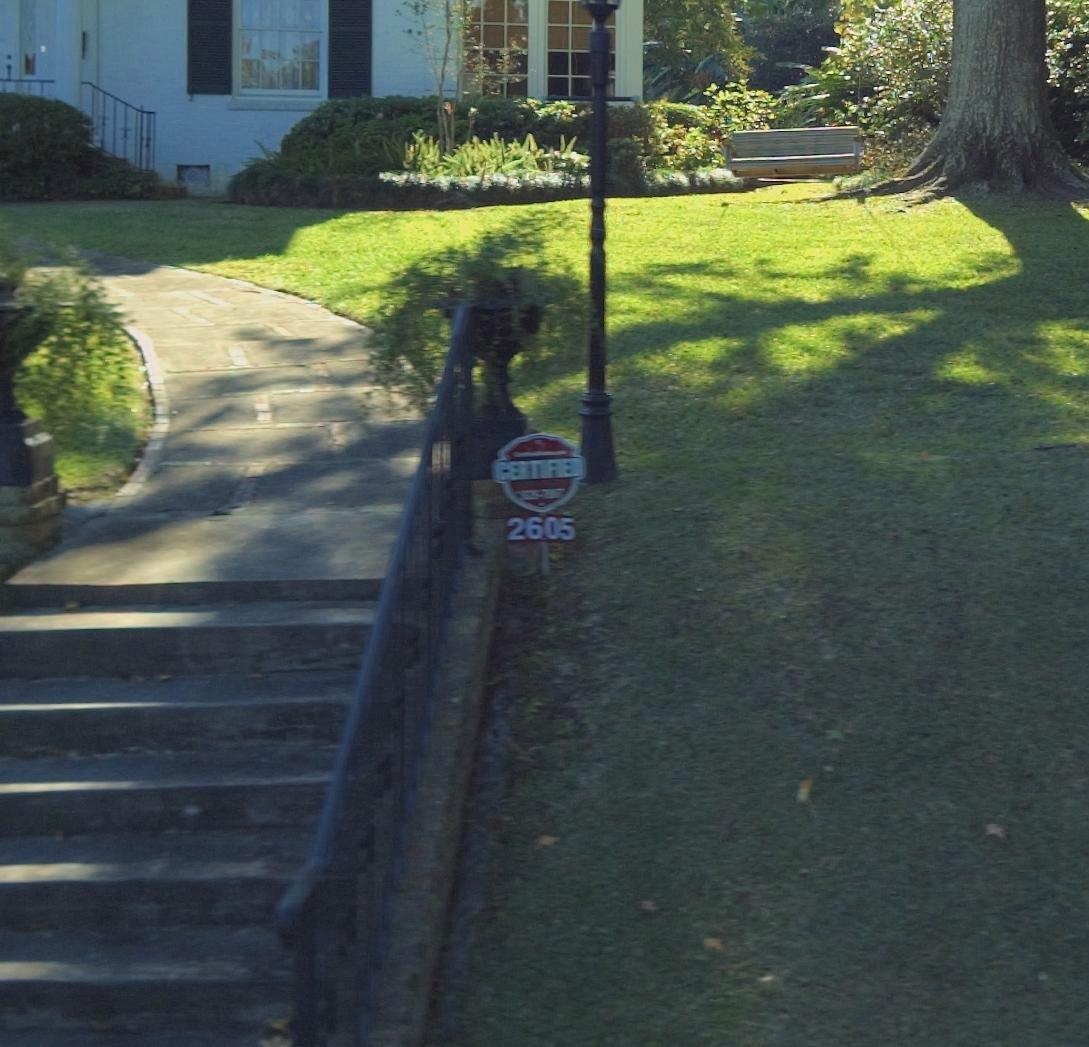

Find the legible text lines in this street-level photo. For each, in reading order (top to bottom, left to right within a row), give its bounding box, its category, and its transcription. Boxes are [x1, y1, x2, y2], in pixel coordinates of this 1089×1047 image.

[493, 455, 587, 486] None: CERTIFIED
[503, 513, 579, 545] StreetNumber: 2605